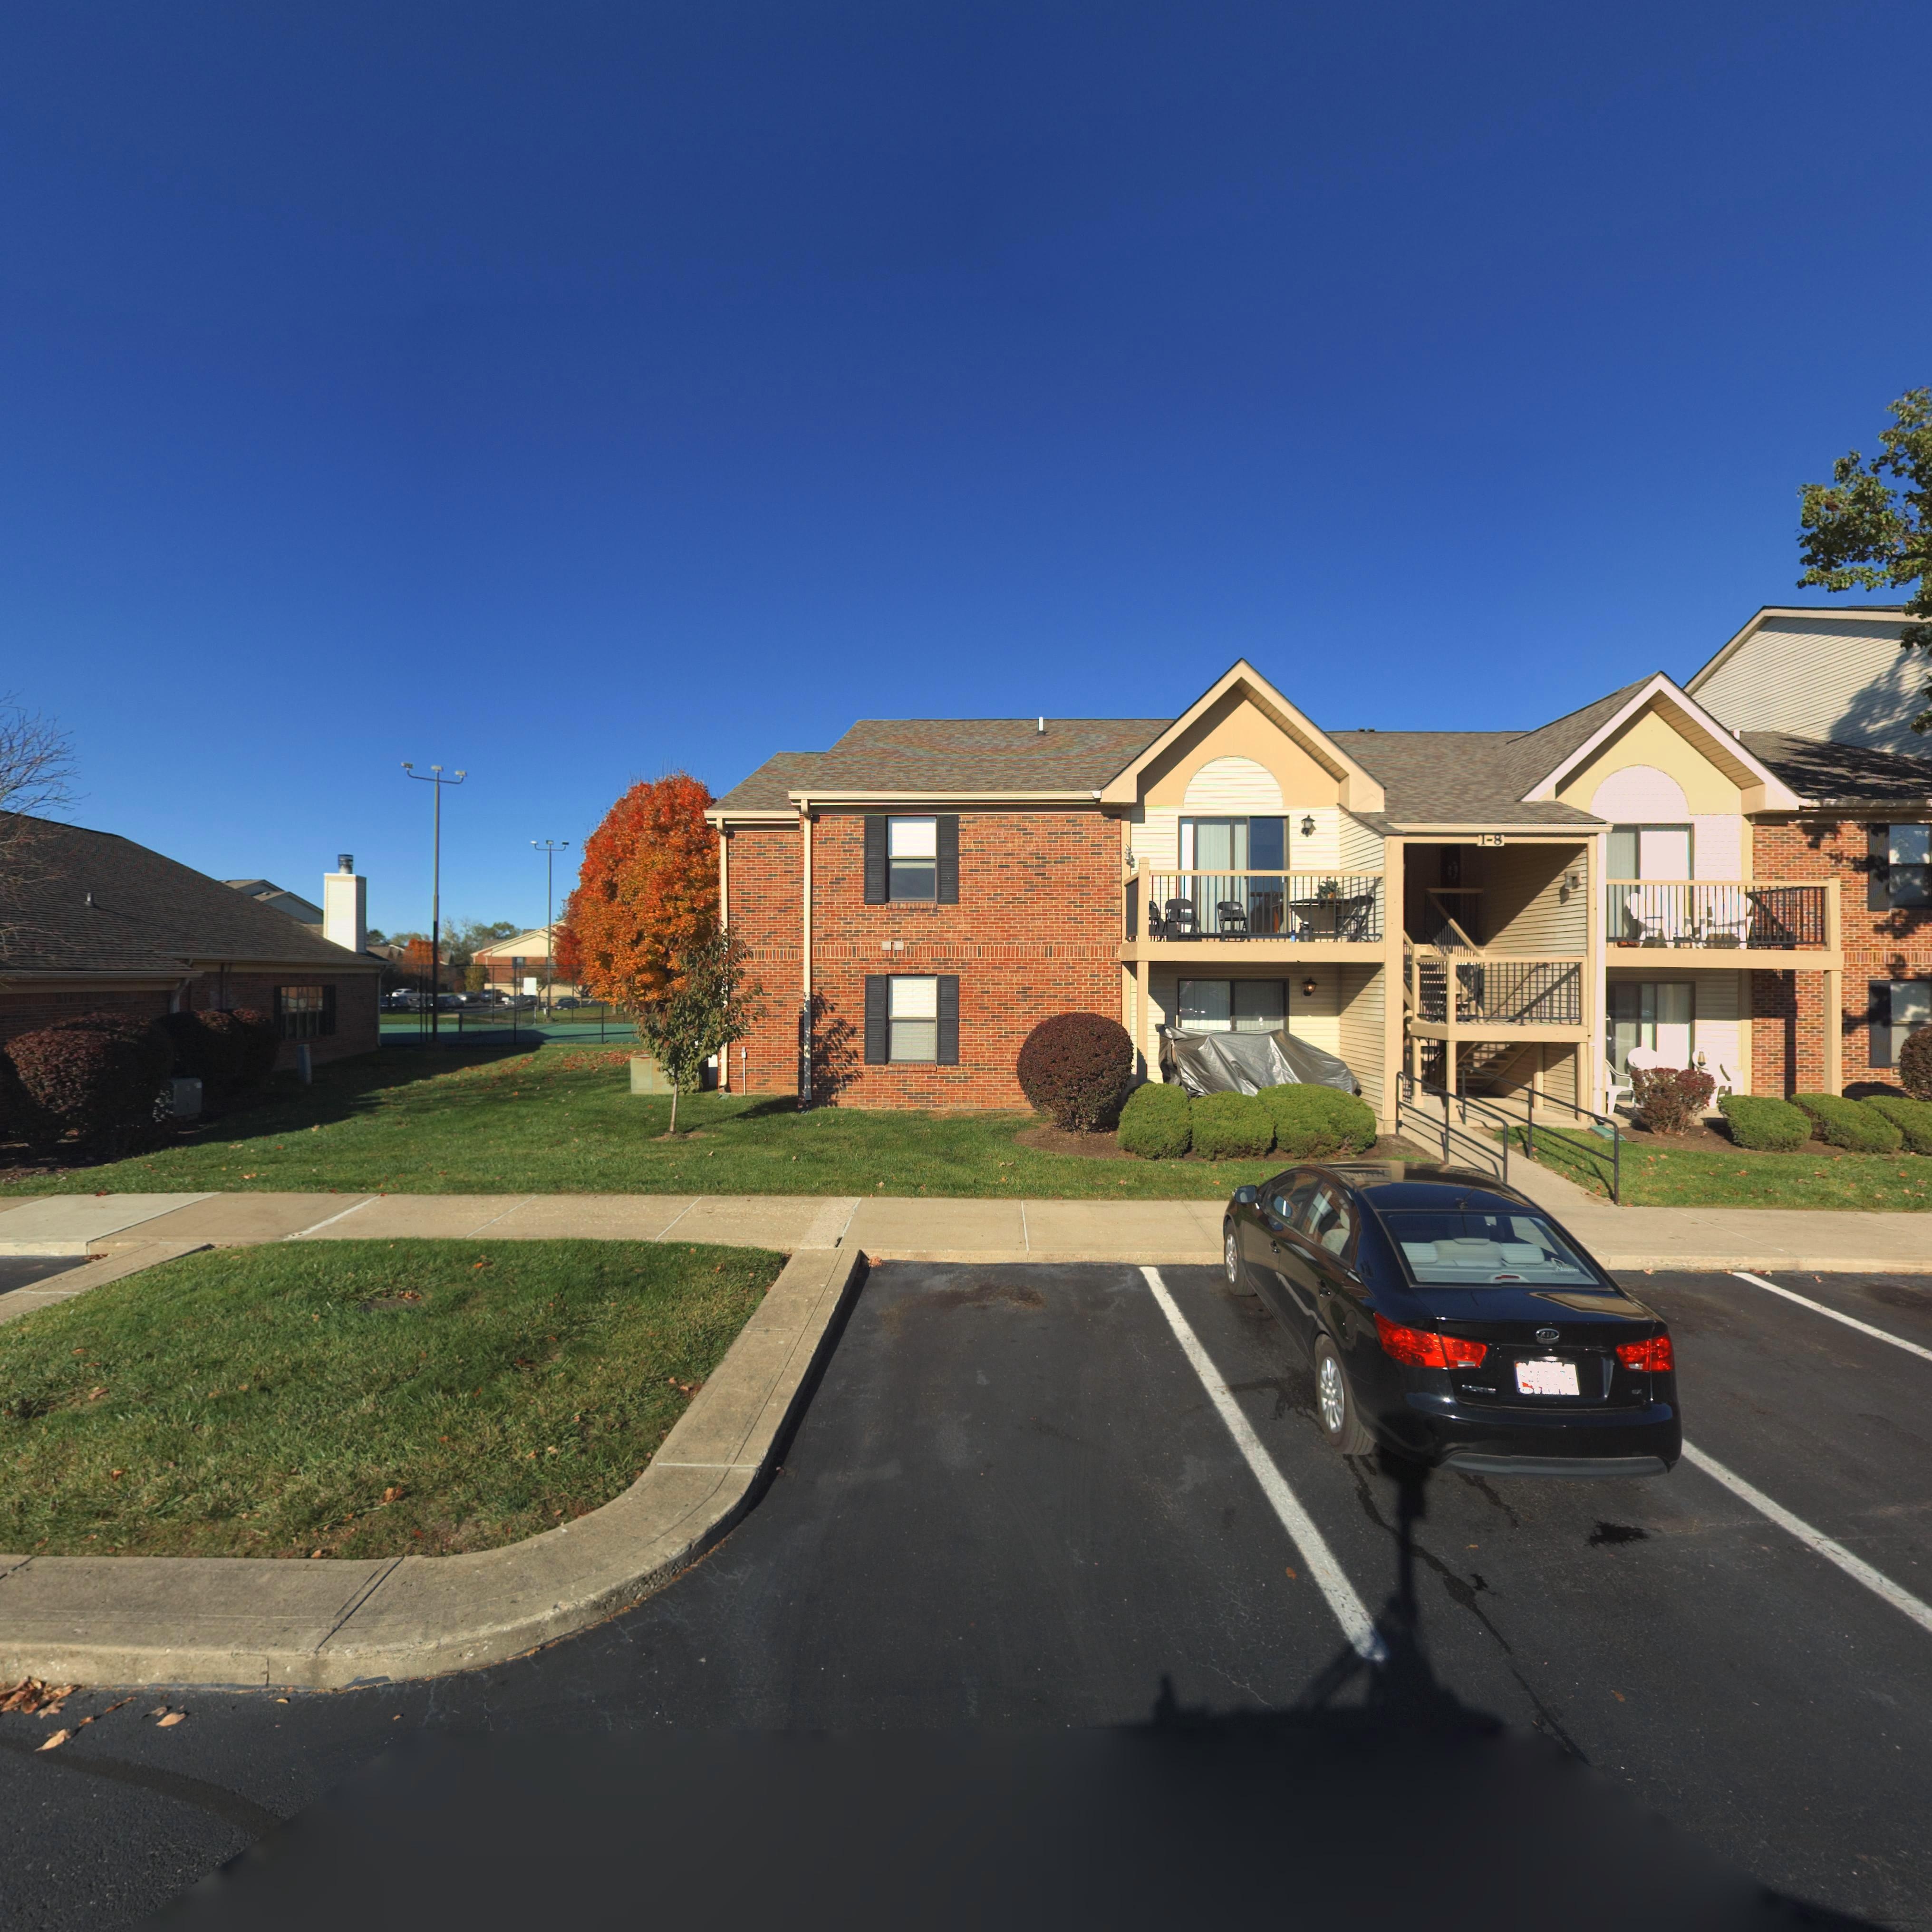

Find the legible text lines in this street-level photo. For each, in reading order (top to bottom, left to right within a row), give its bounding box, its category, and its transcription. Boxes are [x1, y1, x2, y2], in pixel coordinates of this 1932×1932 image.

[1480, 833, 1503, 846] StreetNumber: 1-8